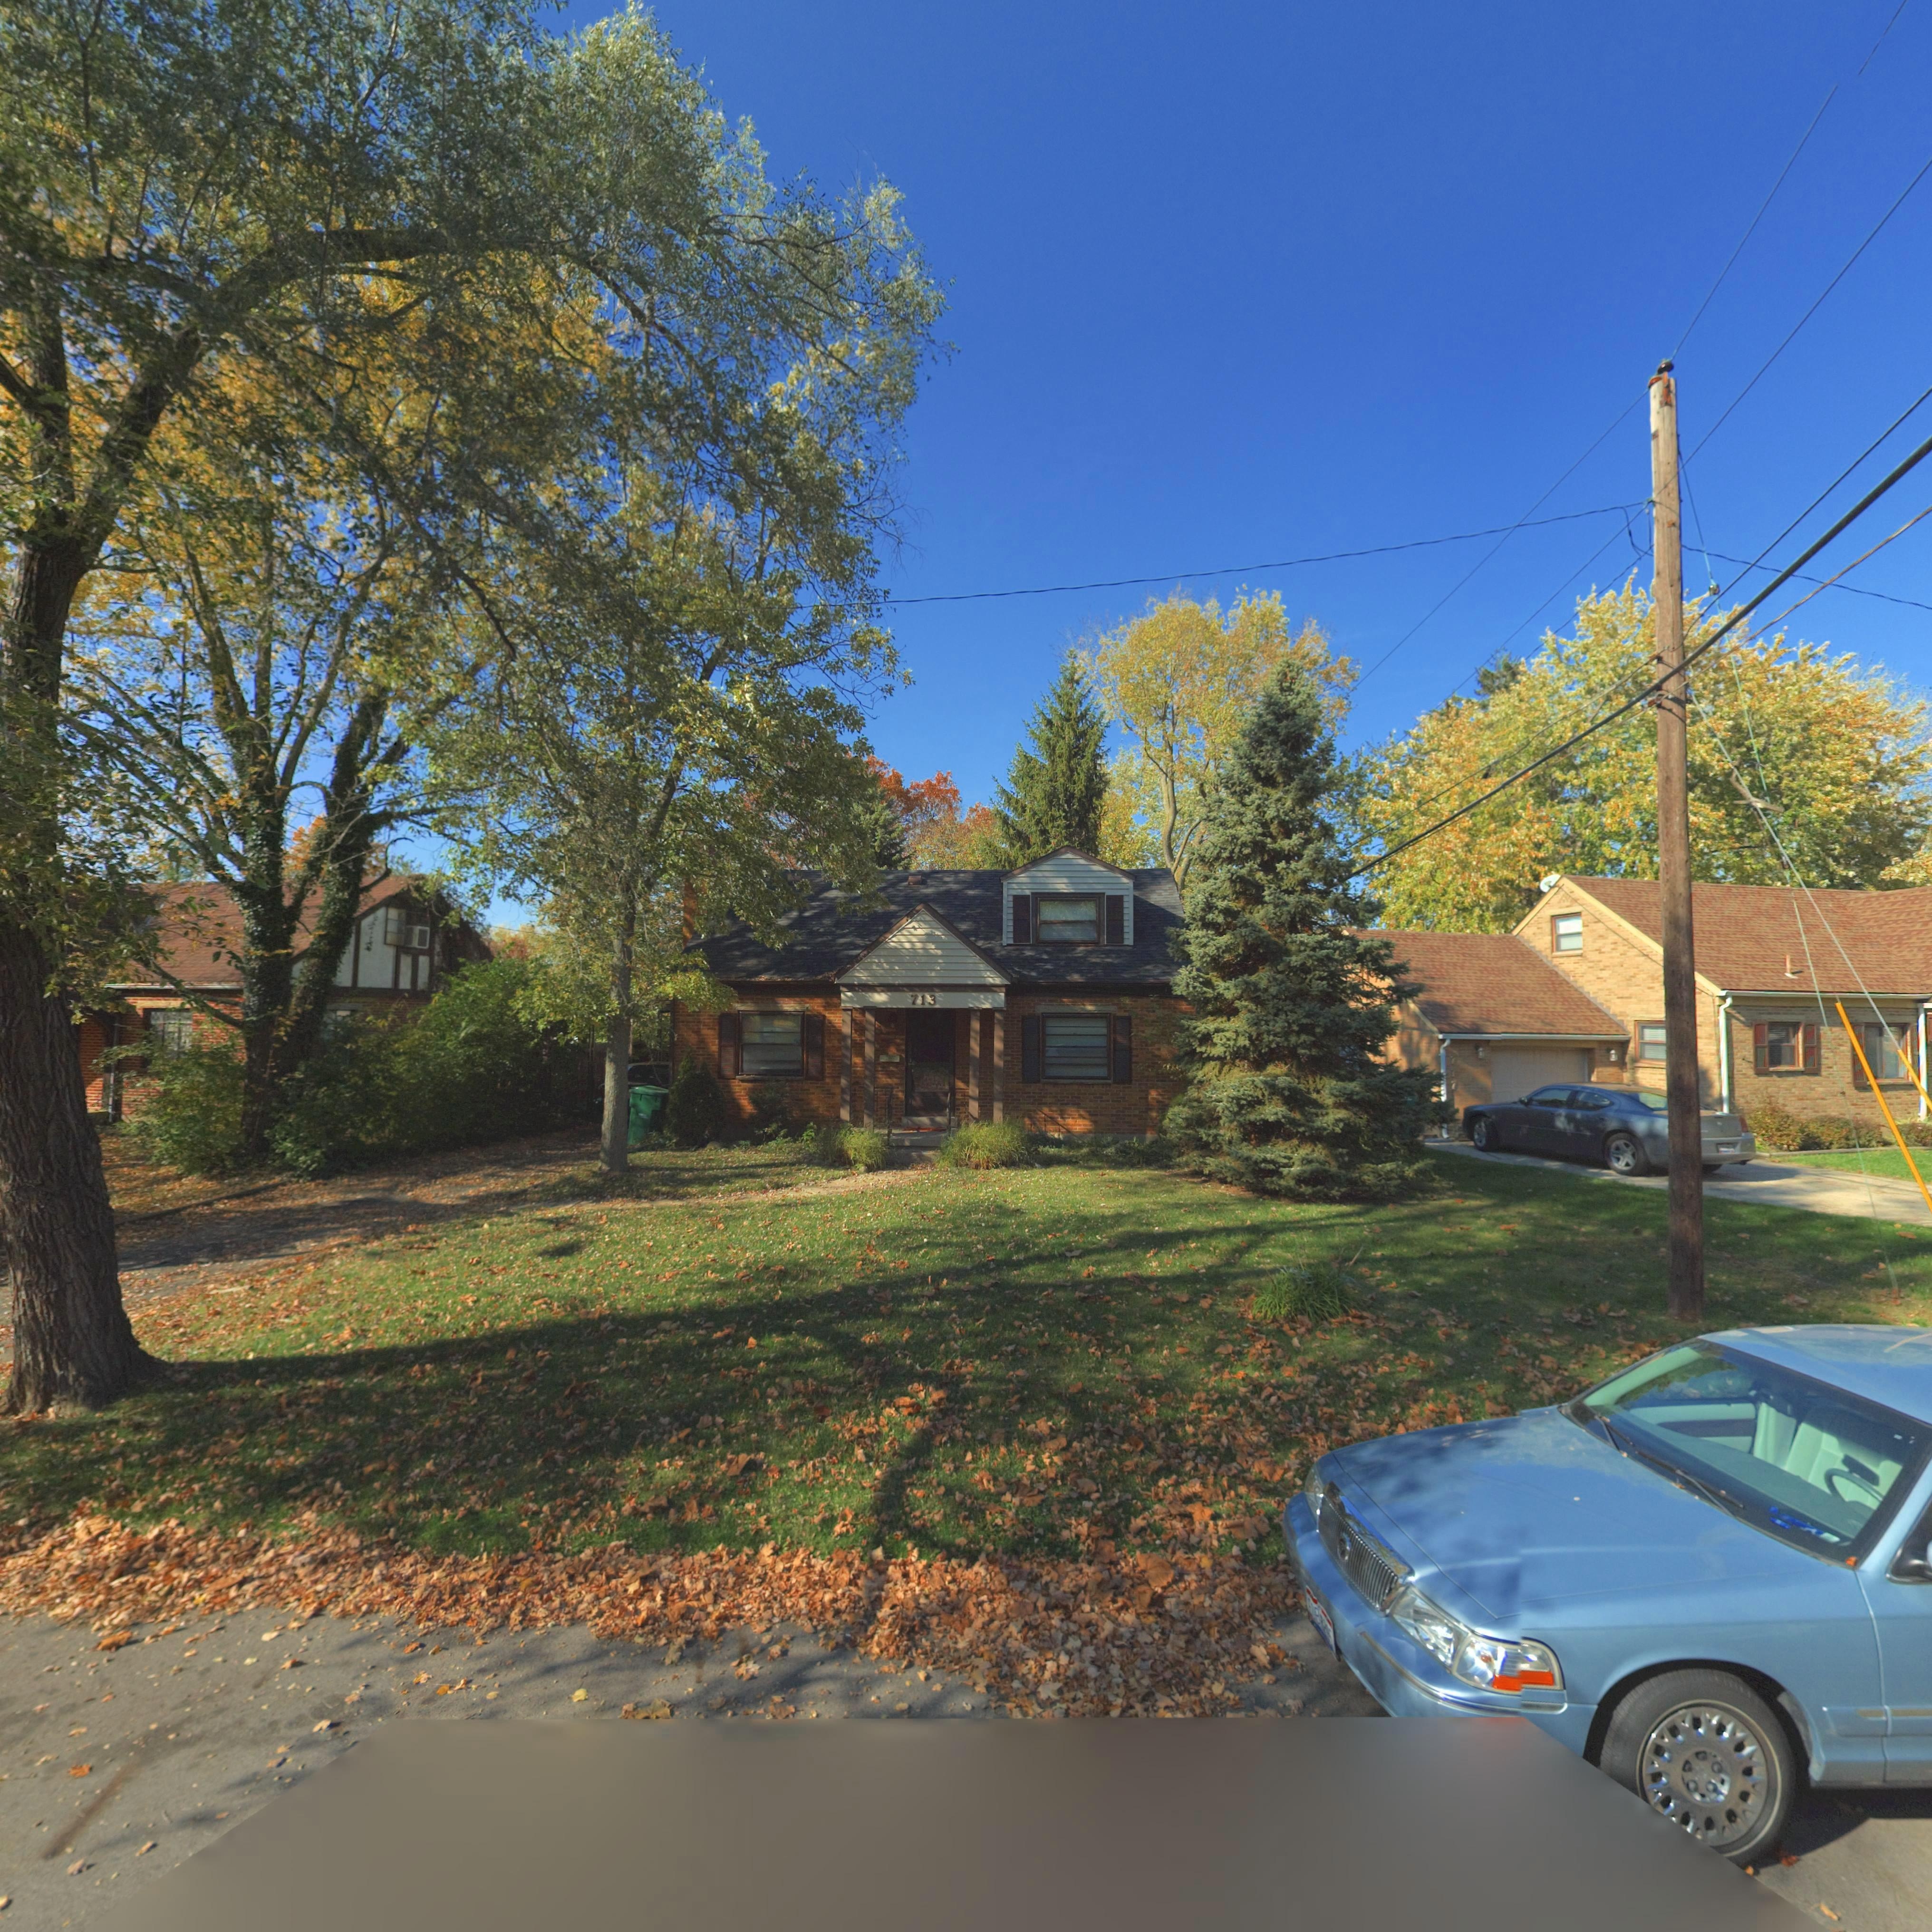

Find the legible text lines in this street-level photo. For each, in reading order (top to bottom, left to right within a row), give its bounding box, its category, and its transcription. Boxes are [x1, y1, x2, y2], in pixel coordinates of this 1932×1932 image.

[910, 993, 936, 1006] StreetNumber: 713